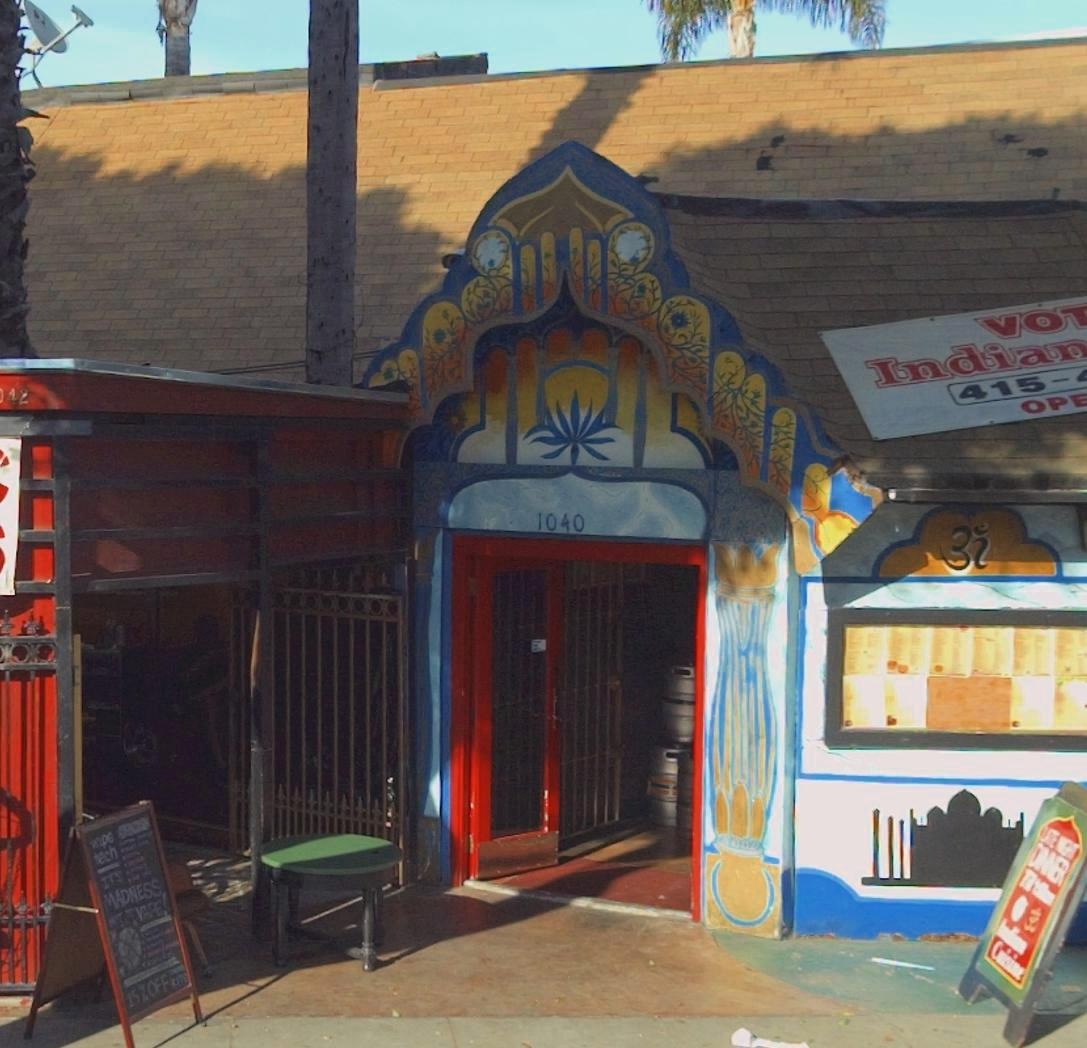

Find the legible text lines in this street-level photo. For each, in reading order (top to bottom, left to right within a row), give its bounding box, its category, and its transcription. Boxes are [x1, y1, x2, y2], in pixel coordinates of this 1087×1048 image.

[967, 305, 1071, 343] BusinessName: VO
[862, 341, 1059, 390] BusinessName: India
[954, 374, 1047, 405] None: 415
[1015, 394, 1072, 416] None: OP
[536, 510, 586, 535] StreetNumber: 1040
[90, 841, 121, 869] None: tech
[97, 866, 128, 894] None: ITS
[101, 874, 166, 916] None: MADNESS
[1023, 838, 1074, 891] None: DINNER
[985, 937, 1031, 987] None: Cuisine
[124, 970, 171, 1011] None: 15%OFF